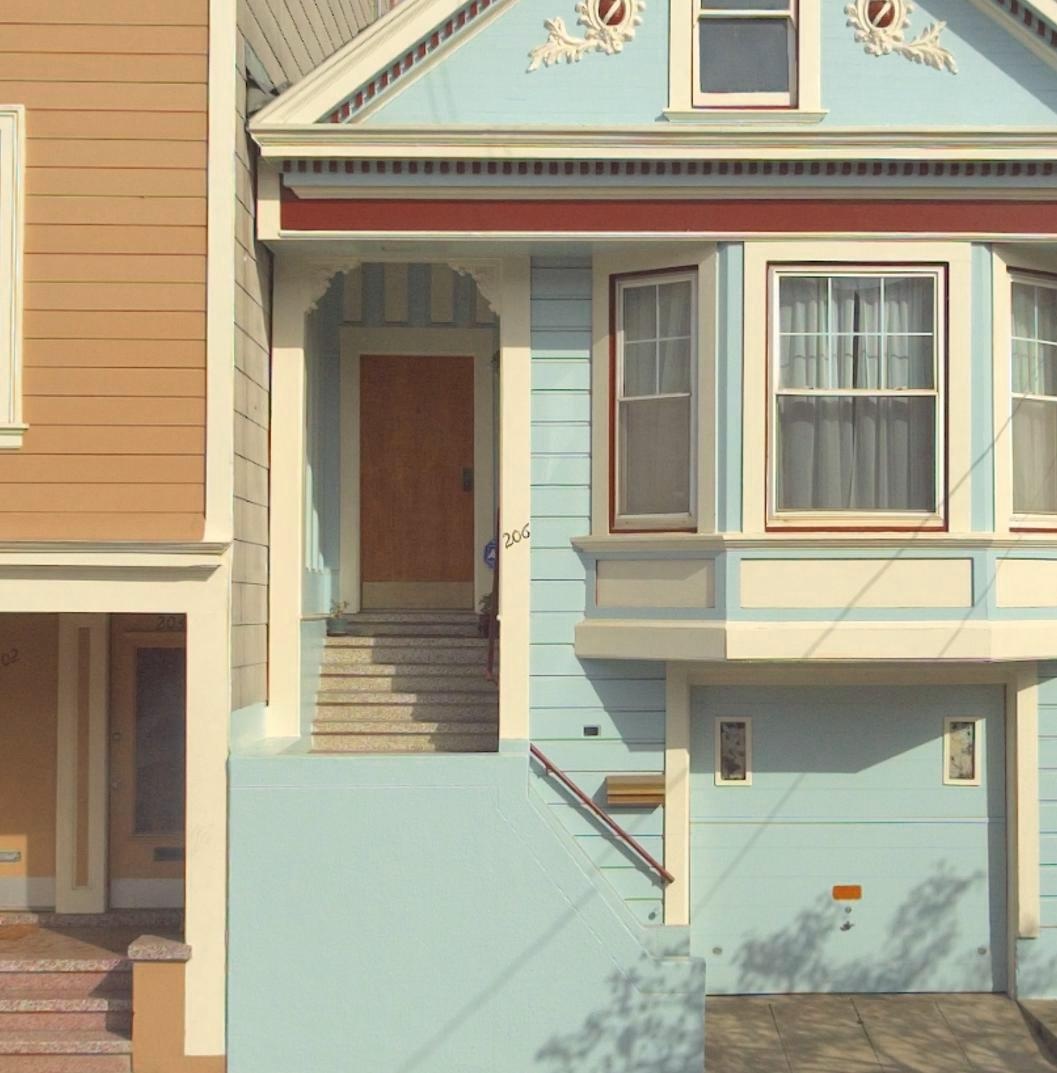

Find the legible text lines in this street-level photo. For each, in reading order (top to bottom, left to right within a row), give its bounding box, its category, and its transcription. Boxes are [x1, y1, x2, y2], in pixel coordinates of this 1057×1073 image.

[499, 520, 533, 551] StreetNumber: 206
[153, 613, 178, 632] StreetNumber: 20
[0, 646, 22, 669] StreetNumber: 02